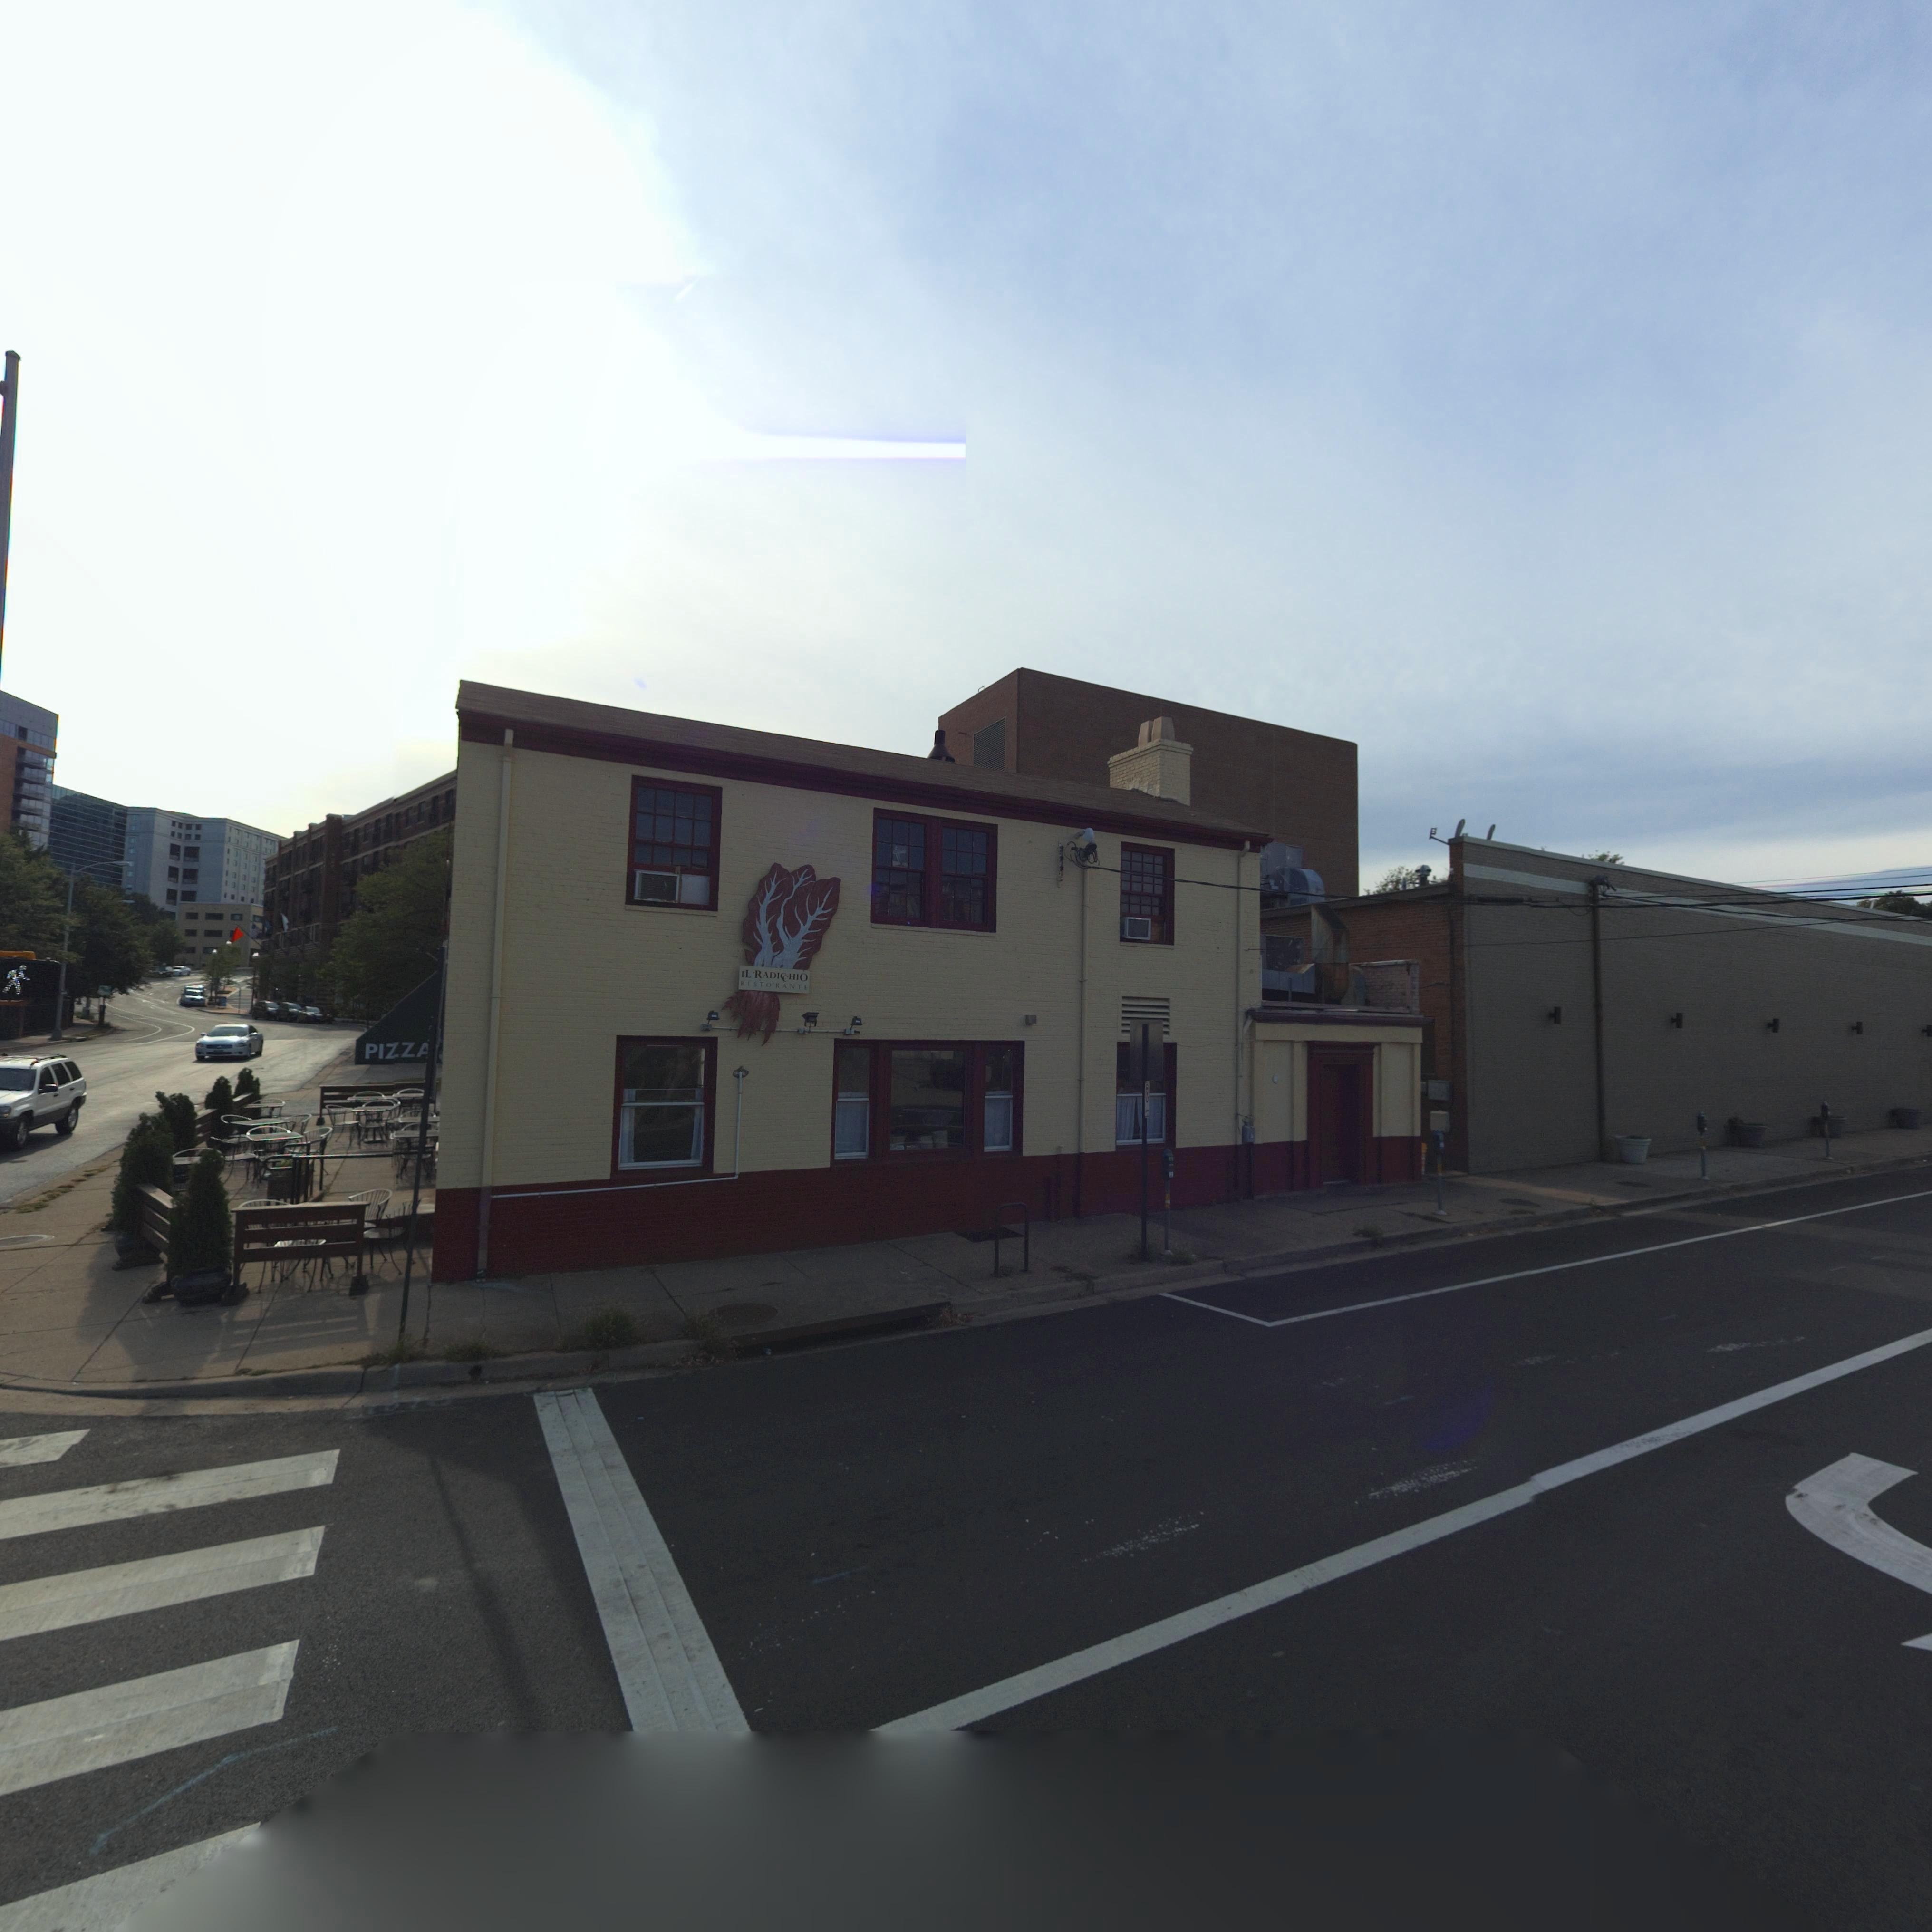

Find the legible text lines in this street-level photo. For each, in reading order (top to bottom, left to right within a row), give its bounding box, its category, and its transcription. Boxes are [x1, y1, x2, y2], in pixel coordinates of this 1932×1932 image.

[744, 968, 809, 983] BusinessName: L RADI*HIO
[739, 980, 810, 992] BusinessName: RISTORANT*
[363, 1041, 417, 1061] None: PI*Z